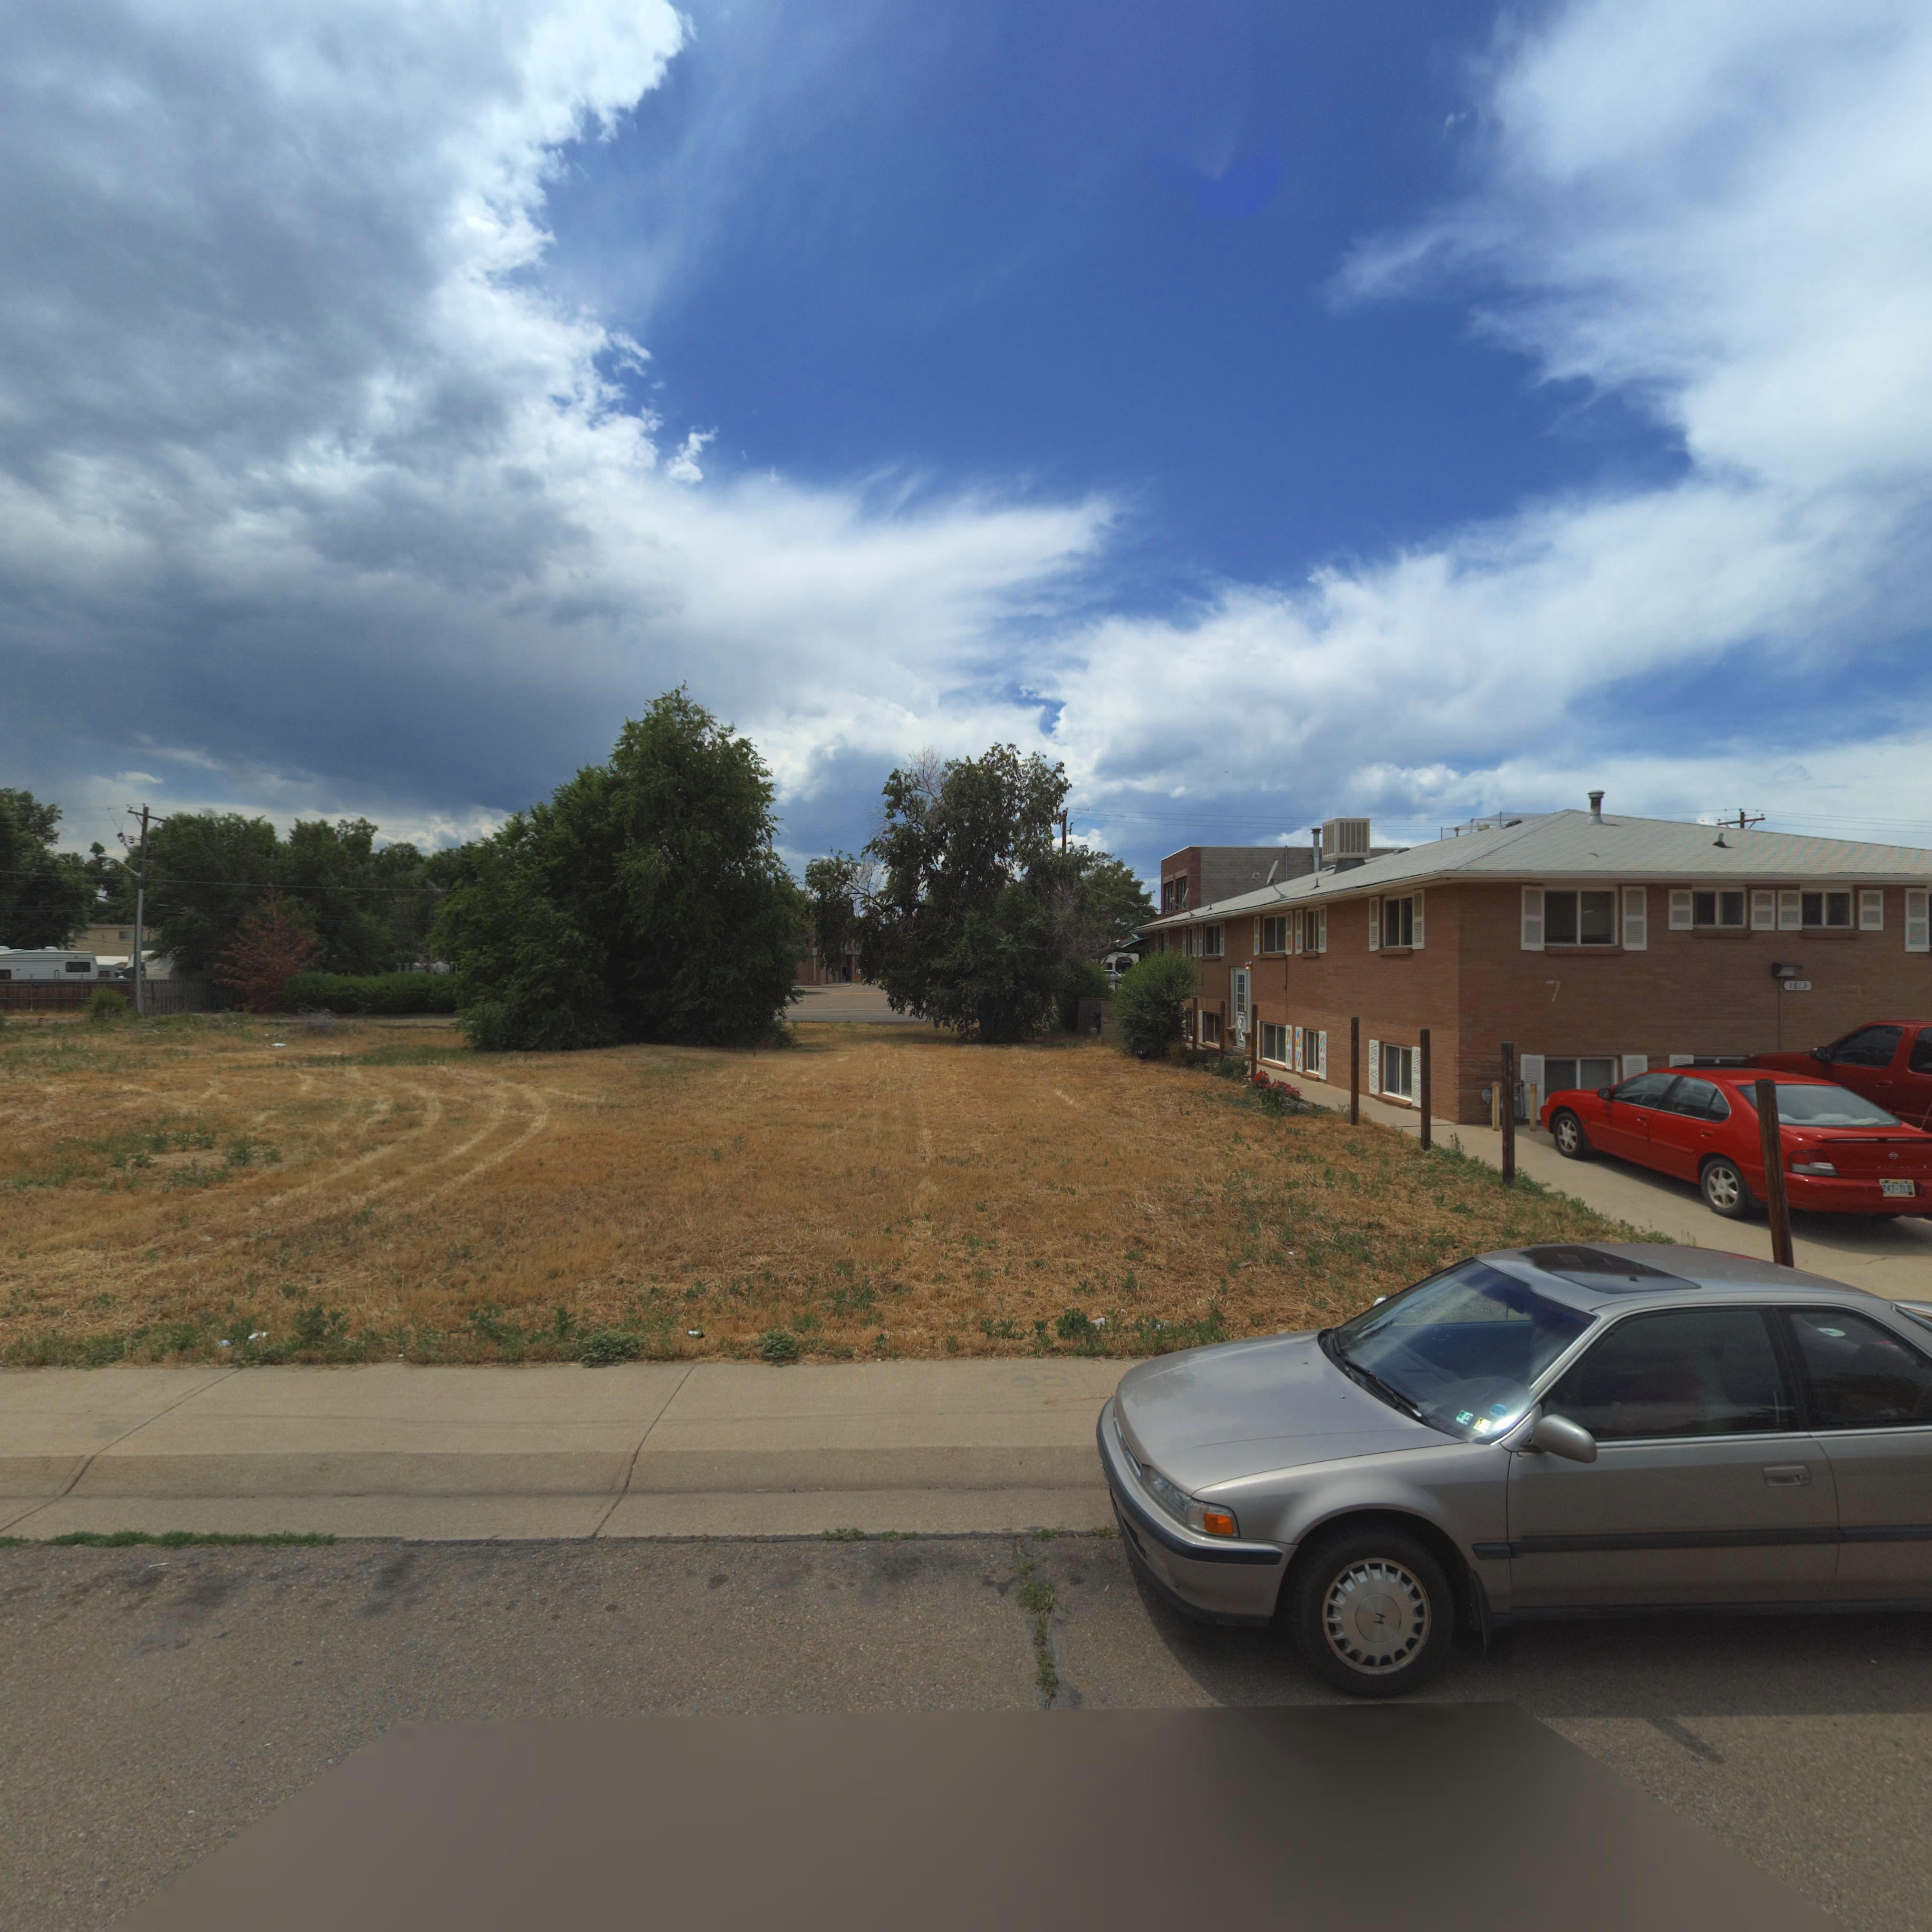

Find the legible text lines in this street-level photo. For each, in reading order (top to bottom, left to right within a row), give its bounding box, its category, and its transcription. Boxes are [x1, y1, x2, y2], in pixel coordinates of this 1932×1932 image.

[1788, 981, 1807, 989] StreetNumber: 1613